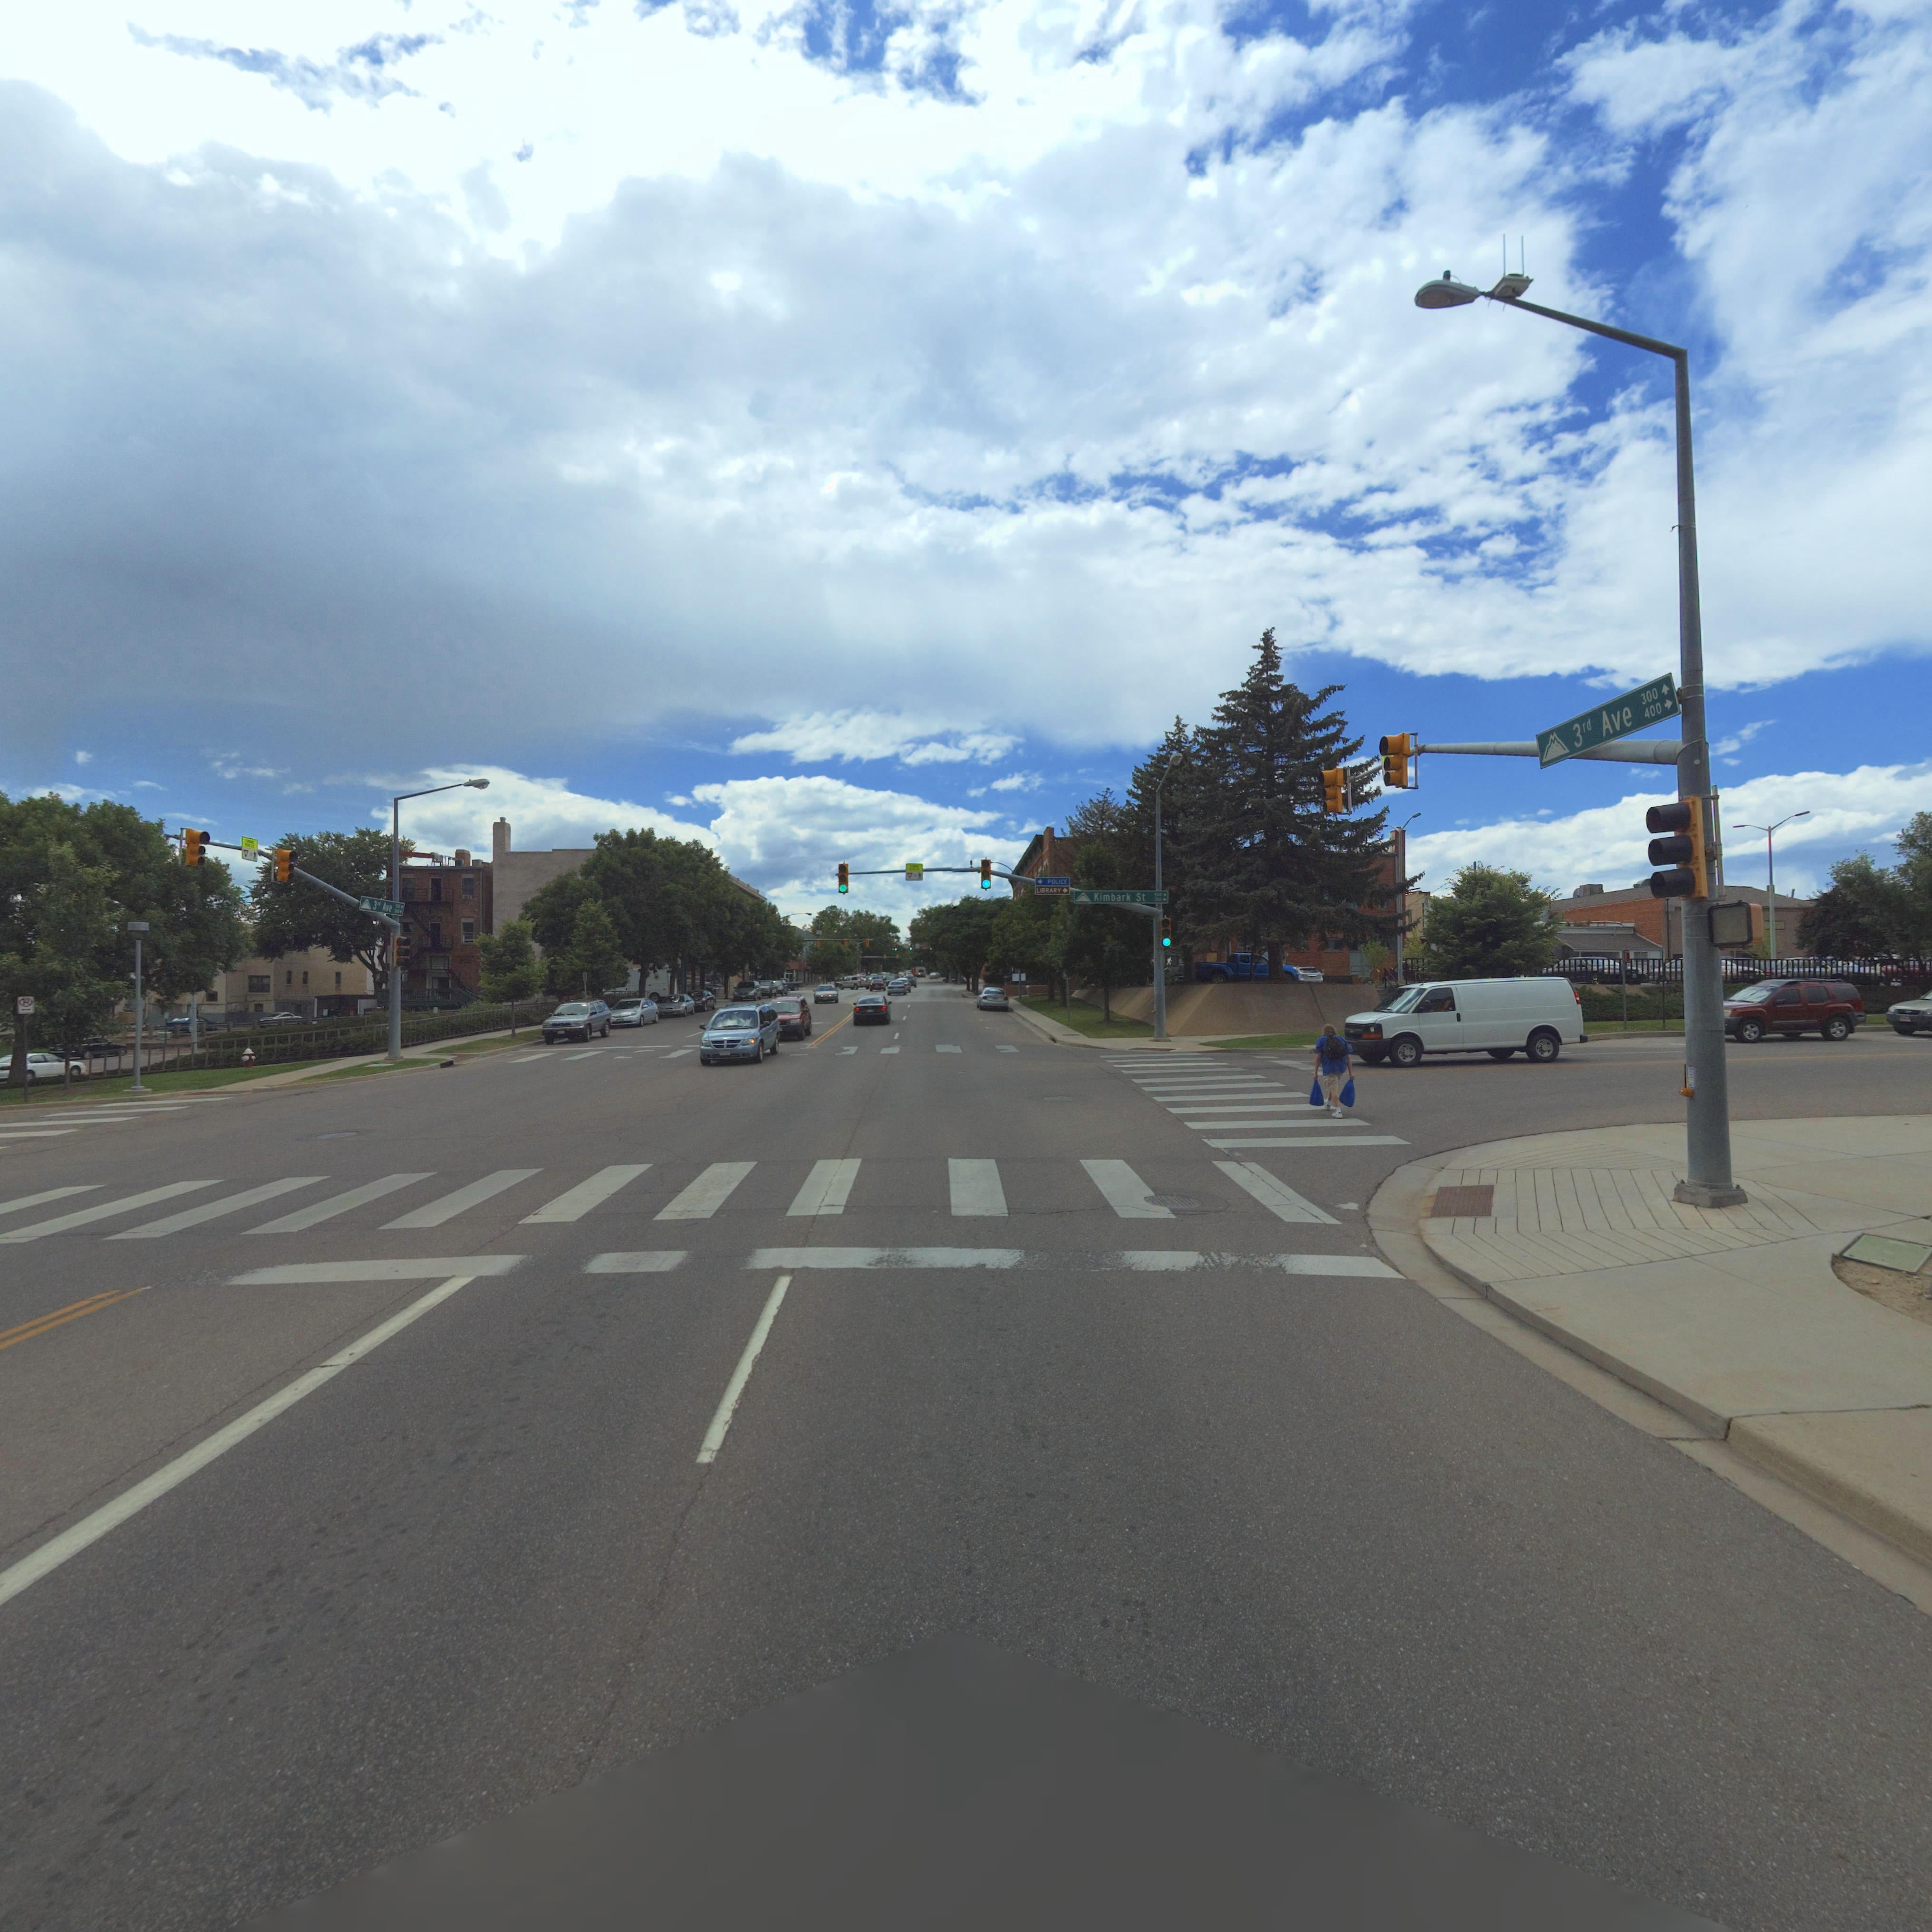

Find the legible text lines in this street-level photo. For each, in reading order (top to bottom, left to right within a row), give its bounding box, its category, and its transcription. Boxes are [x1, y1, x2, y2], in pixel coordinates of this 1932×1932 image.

[1640, 687, 1658, 705] StreetNumberRange: 300
[1644, 698, 1672, 719] StreetNumberRange: 400->
[1573, 706, 1632, 748] StreetName: 3rd Ave
[1094, 892, 1146, 901] StreetName: Kimbark St
[1155, 892, 1162, 897] StreetNumberRange: 500
[1154, 897, 1167, 901] StreetNumberRange: 300->
[373, 900, 392, 912] StreetName: 3** Ave